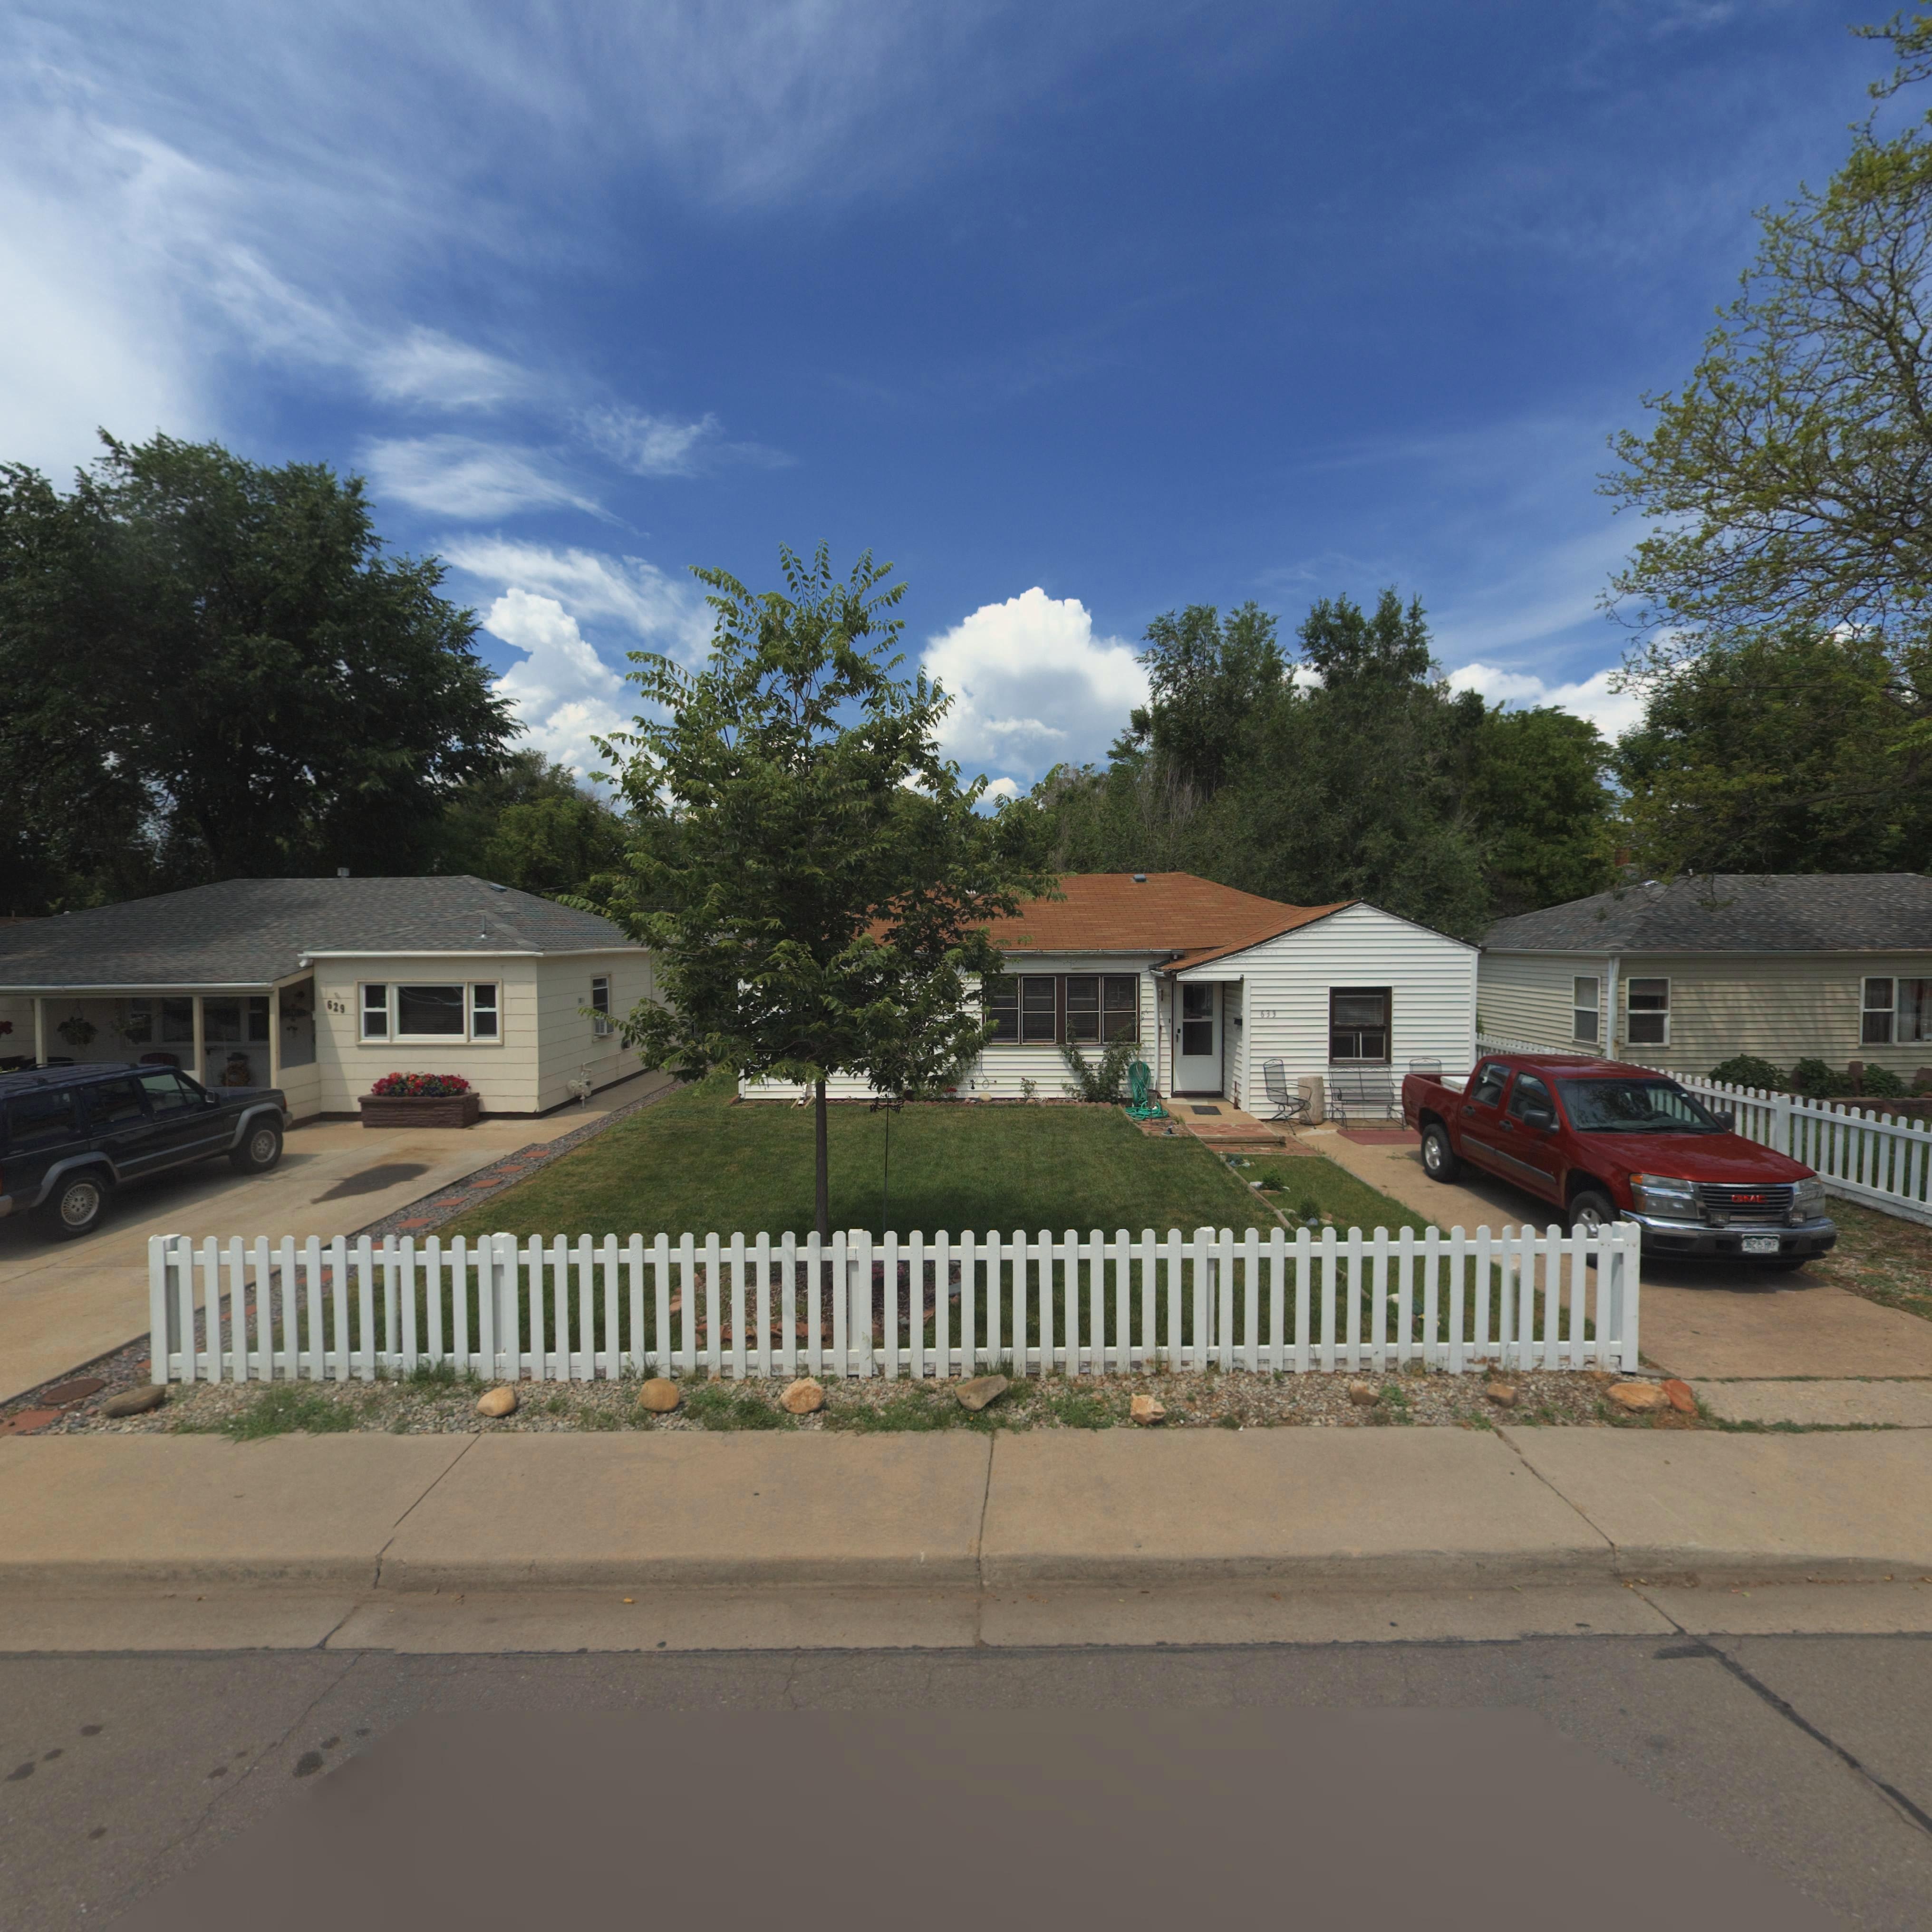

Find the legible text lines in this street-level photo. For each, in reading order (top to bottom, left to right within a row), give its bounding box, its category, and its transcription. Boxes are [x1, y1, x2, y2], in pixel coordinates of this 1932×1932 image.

[327, 1000, 345, 1013] StreetNumber: 629
[1260, 1010, 1276, 1018] StreetNumber: 633